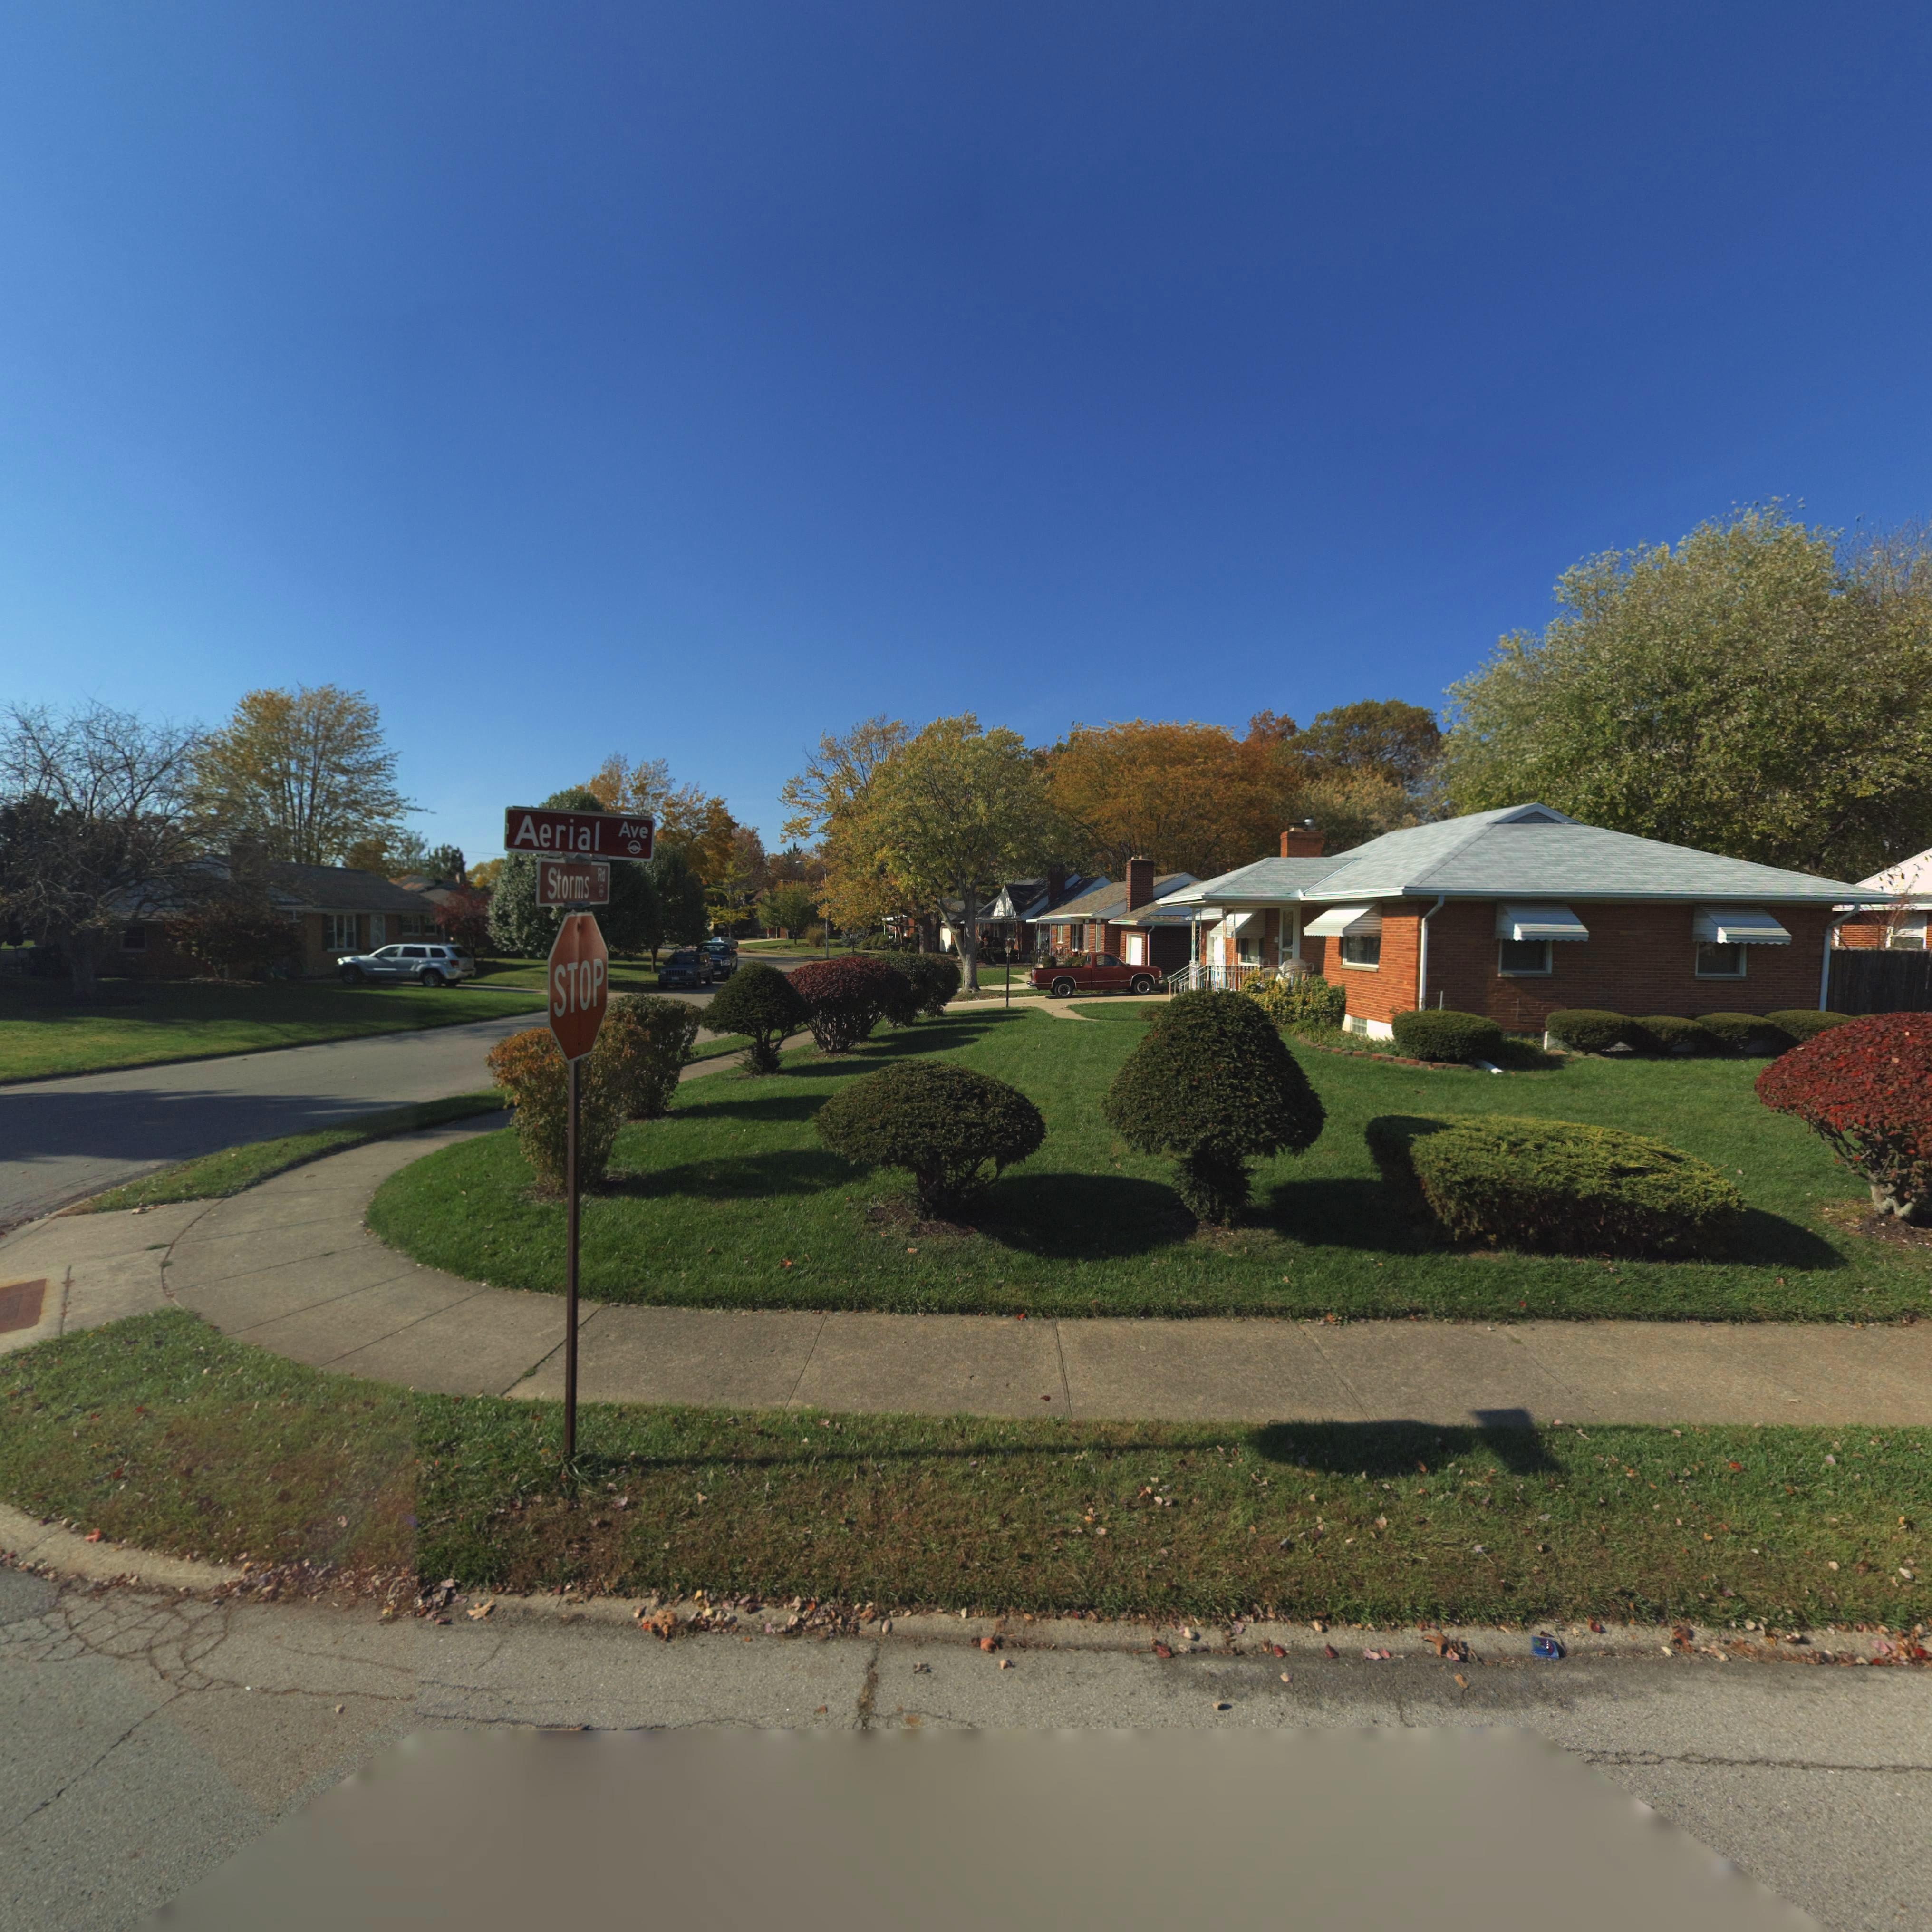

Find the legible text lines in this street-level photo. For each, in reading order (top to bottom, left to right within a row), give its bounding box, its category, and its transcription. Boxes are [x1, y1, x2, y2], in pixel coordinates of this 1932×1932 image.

[512, 814, 649, 852] StreetName: Aerial Ave
[547, 866, 606, 900] StreetName: Storms Rd
[553, 958, 605, 1018] None: STOP